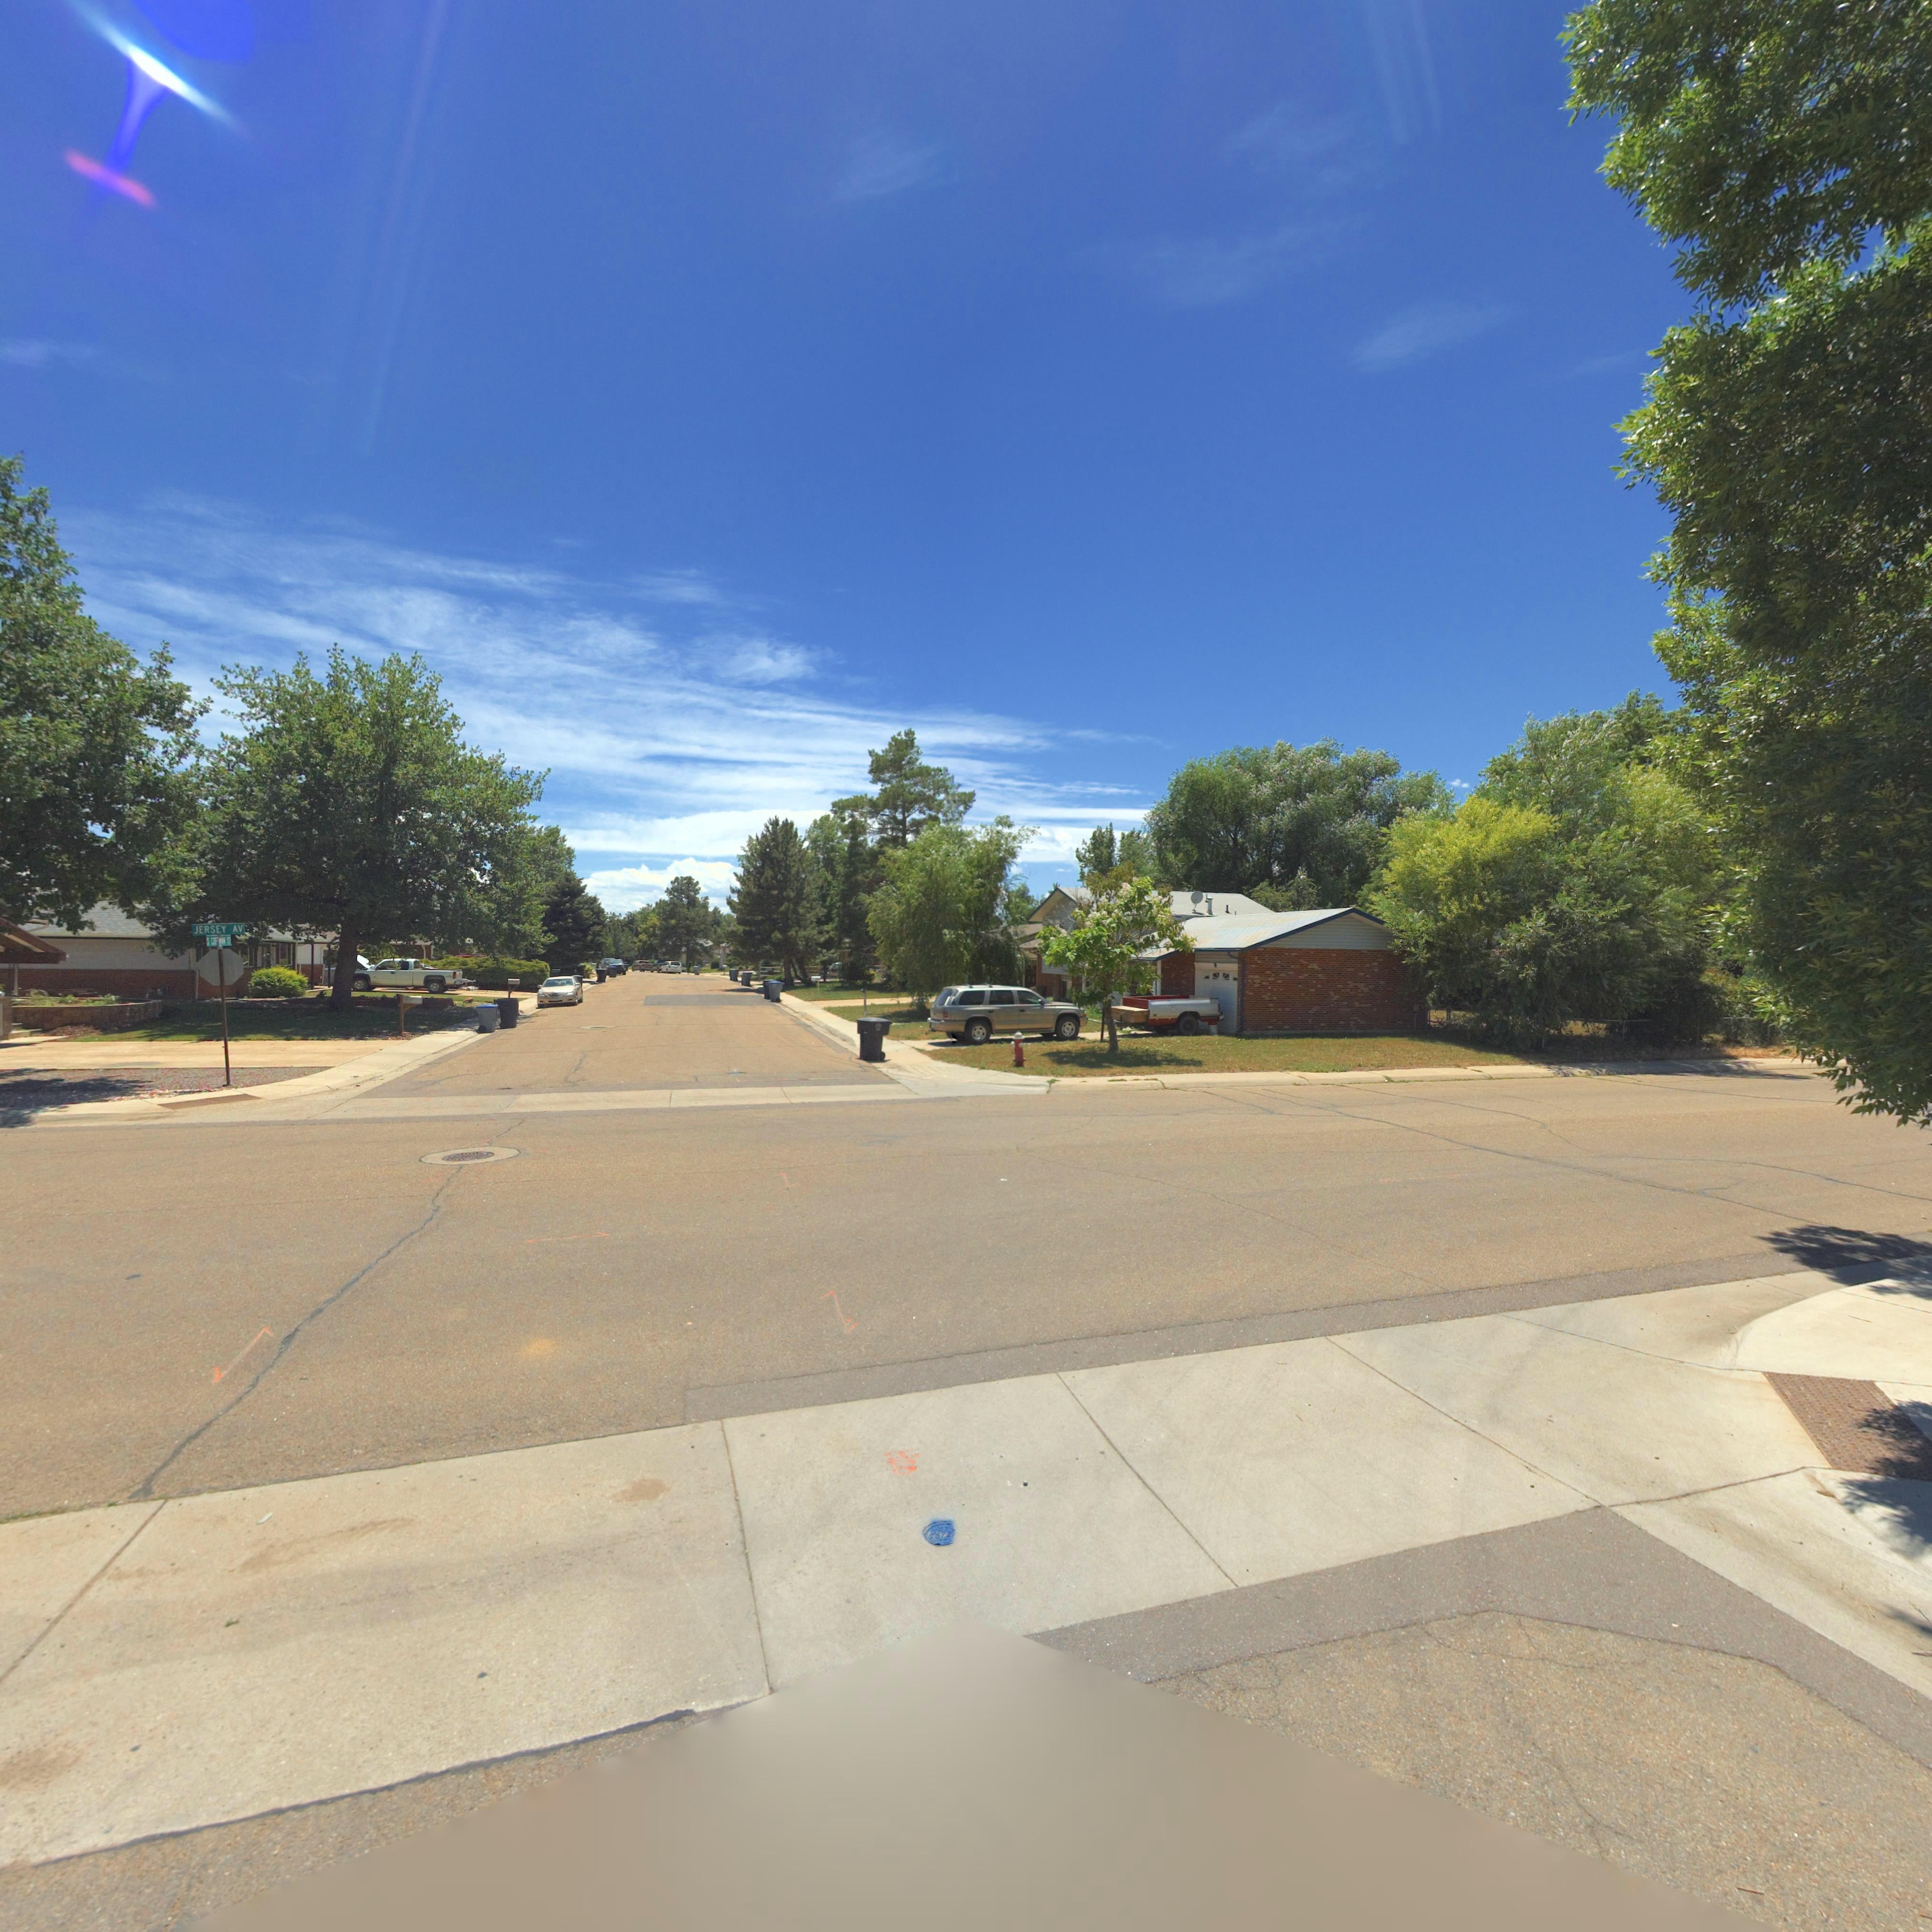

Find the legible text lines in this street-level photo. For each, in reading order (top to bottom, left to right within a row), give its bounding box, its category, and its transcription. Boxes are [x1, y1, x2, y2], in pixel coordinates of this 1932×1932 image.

[193, 924, 243, 934] StreetName: JERSEY AV
[206, 937, 231, 945] StreetName: S COFF*** ST